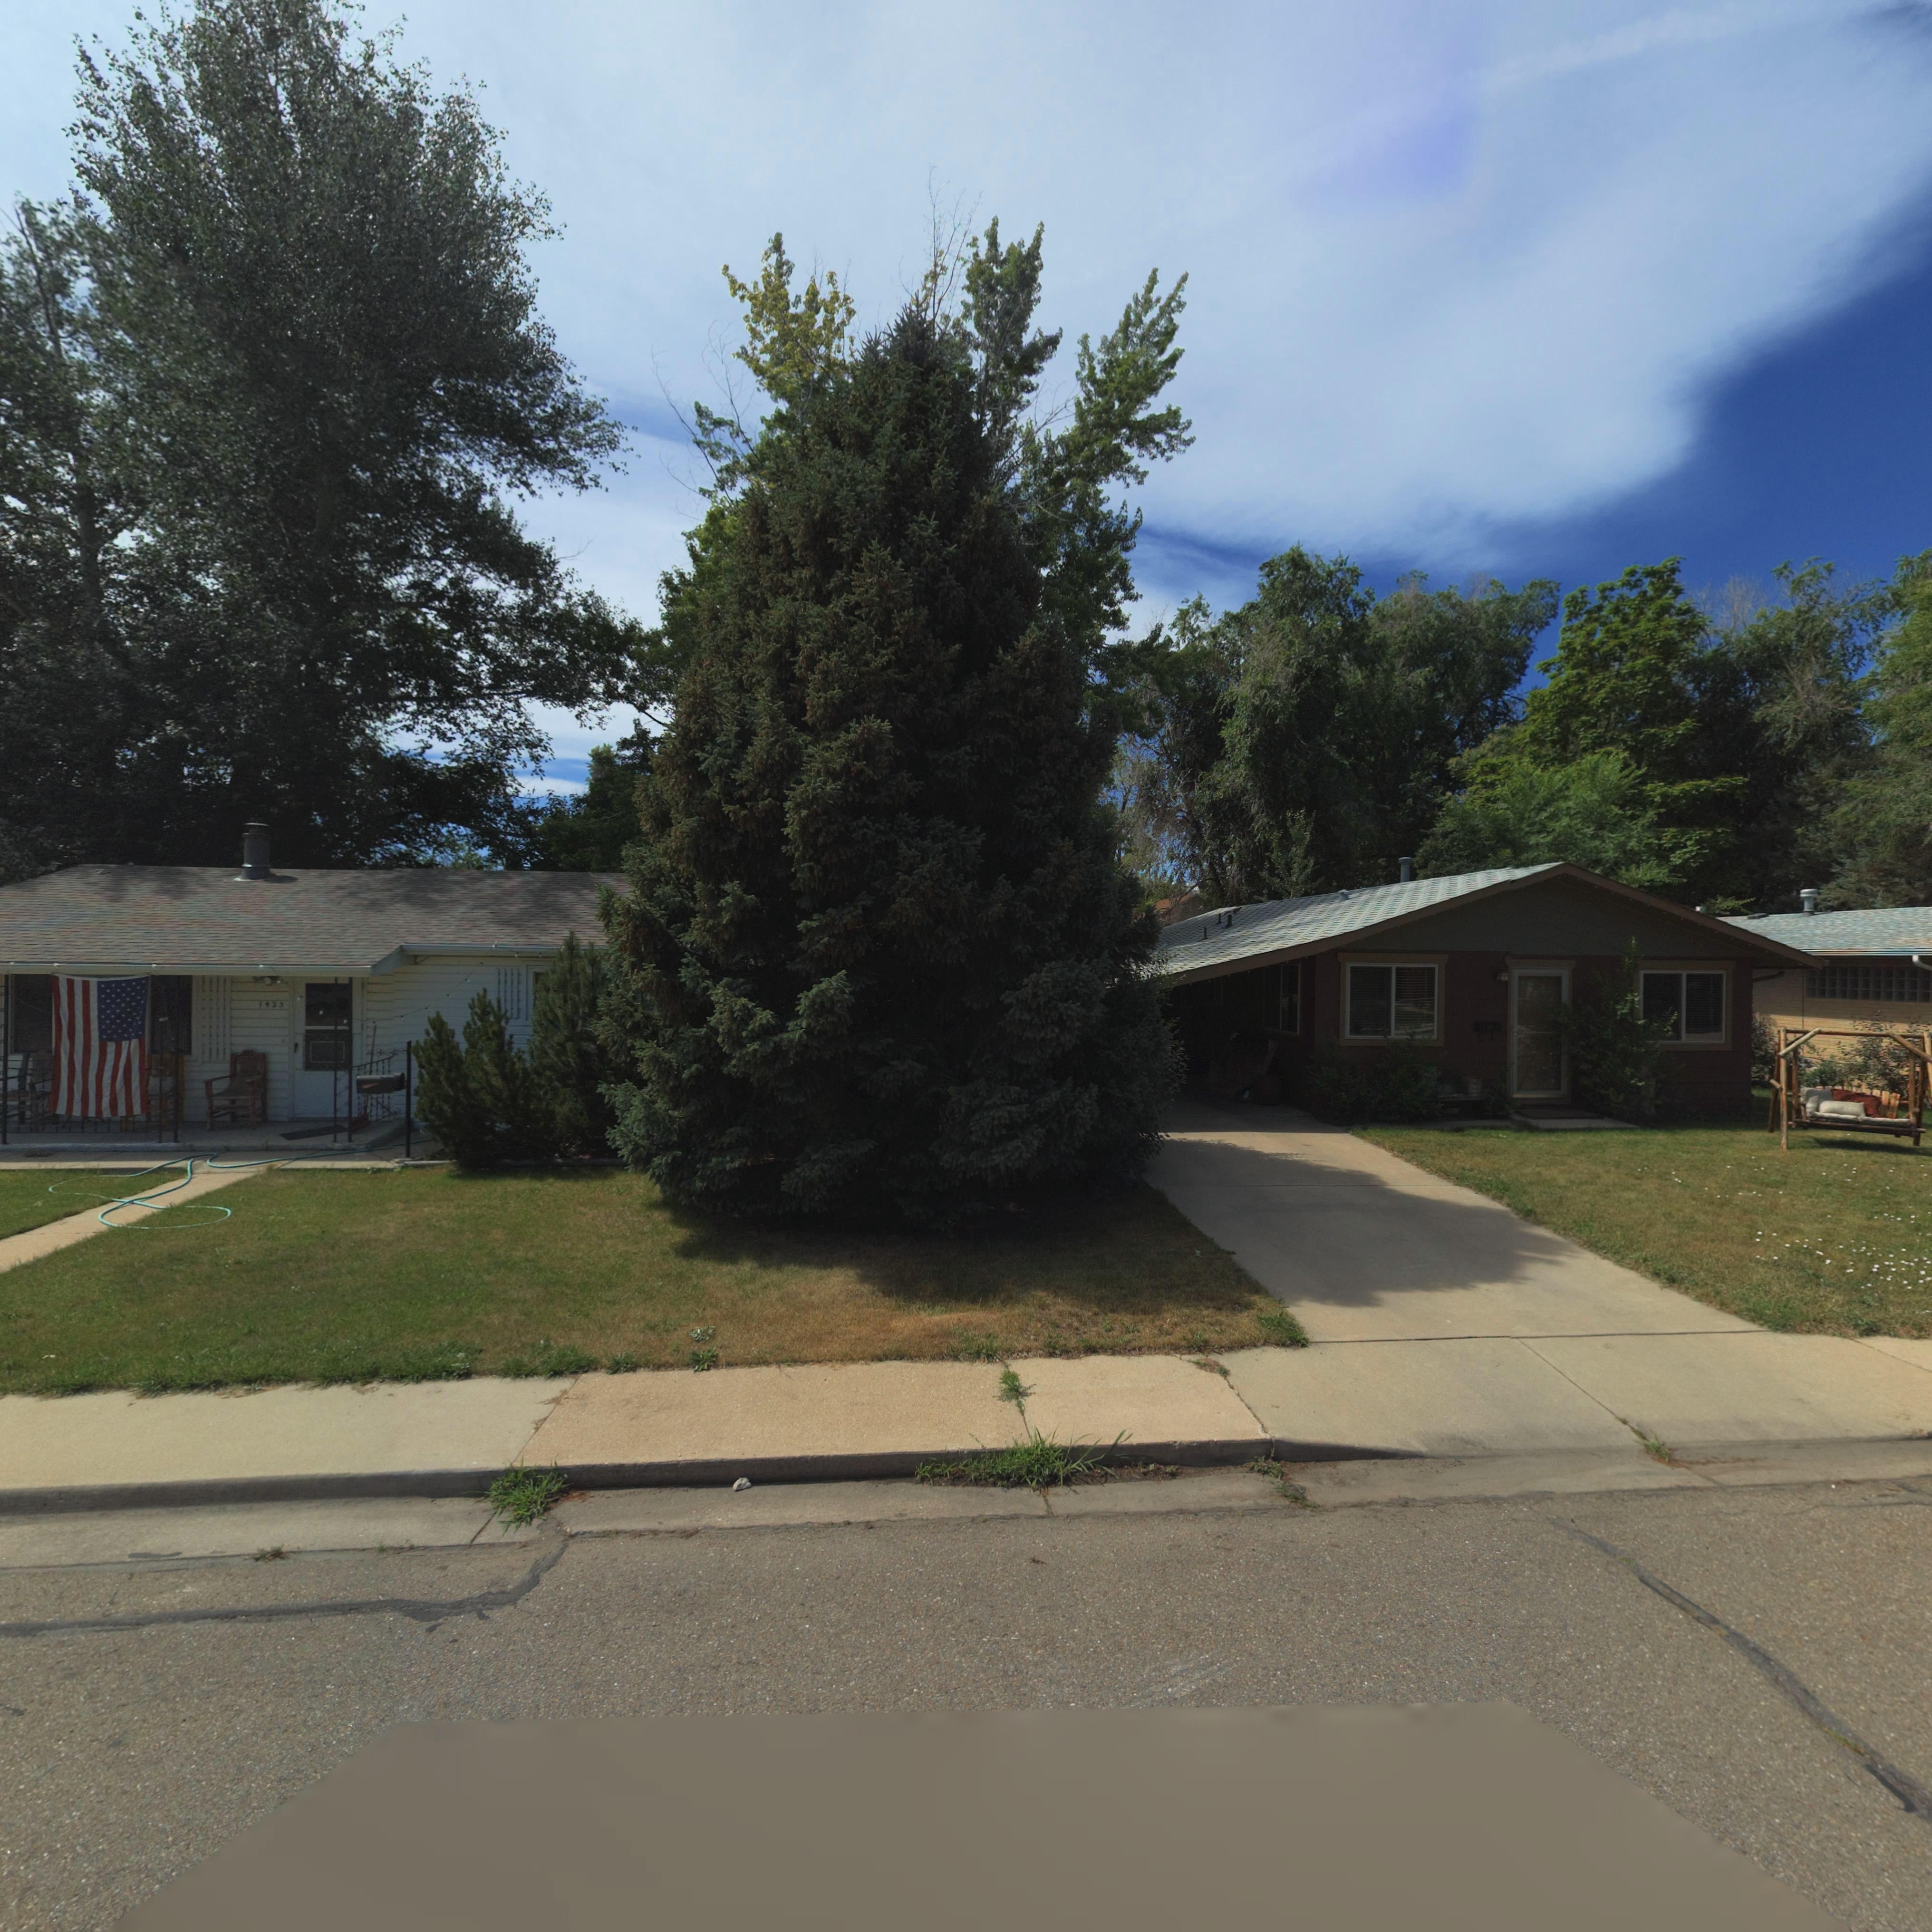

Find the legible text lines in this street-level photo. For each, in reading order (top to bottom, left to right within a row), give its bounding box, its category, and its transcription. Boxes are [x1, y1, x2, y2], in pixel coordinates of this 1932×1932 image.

[259, 1001, 284, 1008] StreetNumber: 1425